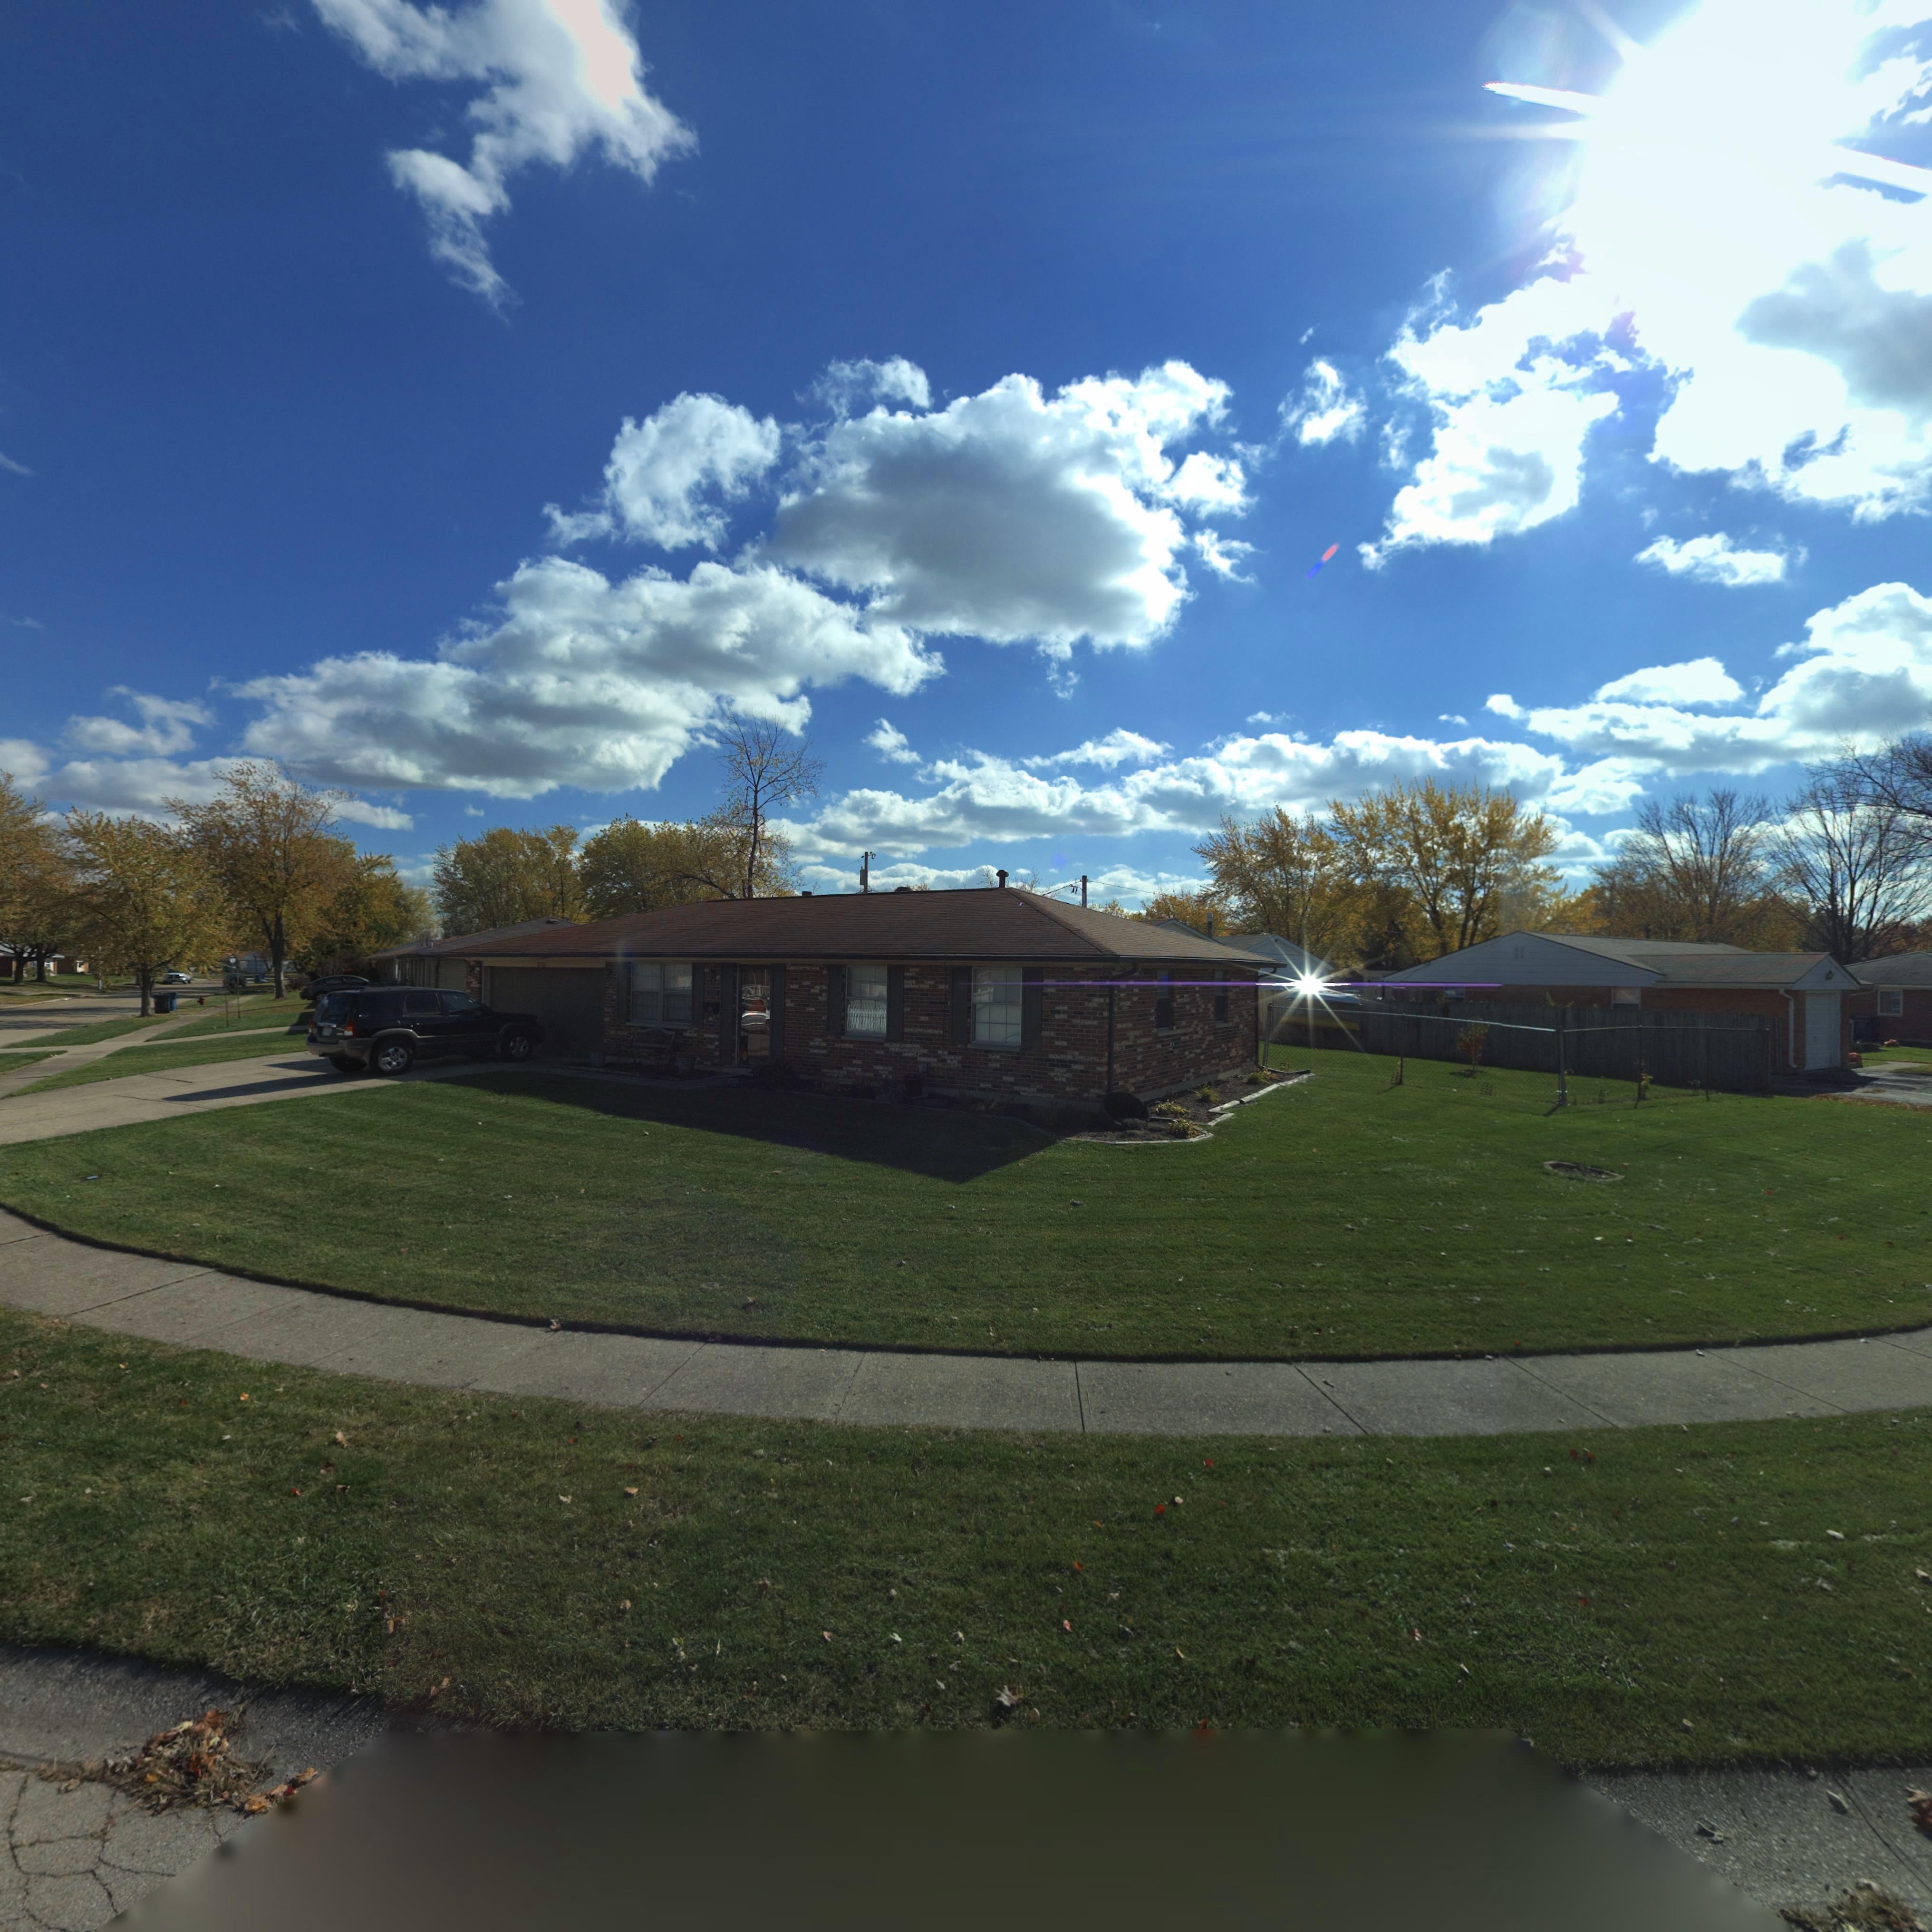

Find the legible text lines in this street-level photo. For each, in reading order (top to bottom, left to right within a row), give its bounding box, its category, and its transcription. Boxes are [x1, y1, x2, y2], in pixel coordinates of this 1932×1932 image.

[537, 962, 547, 968] StreetNumber: 6700